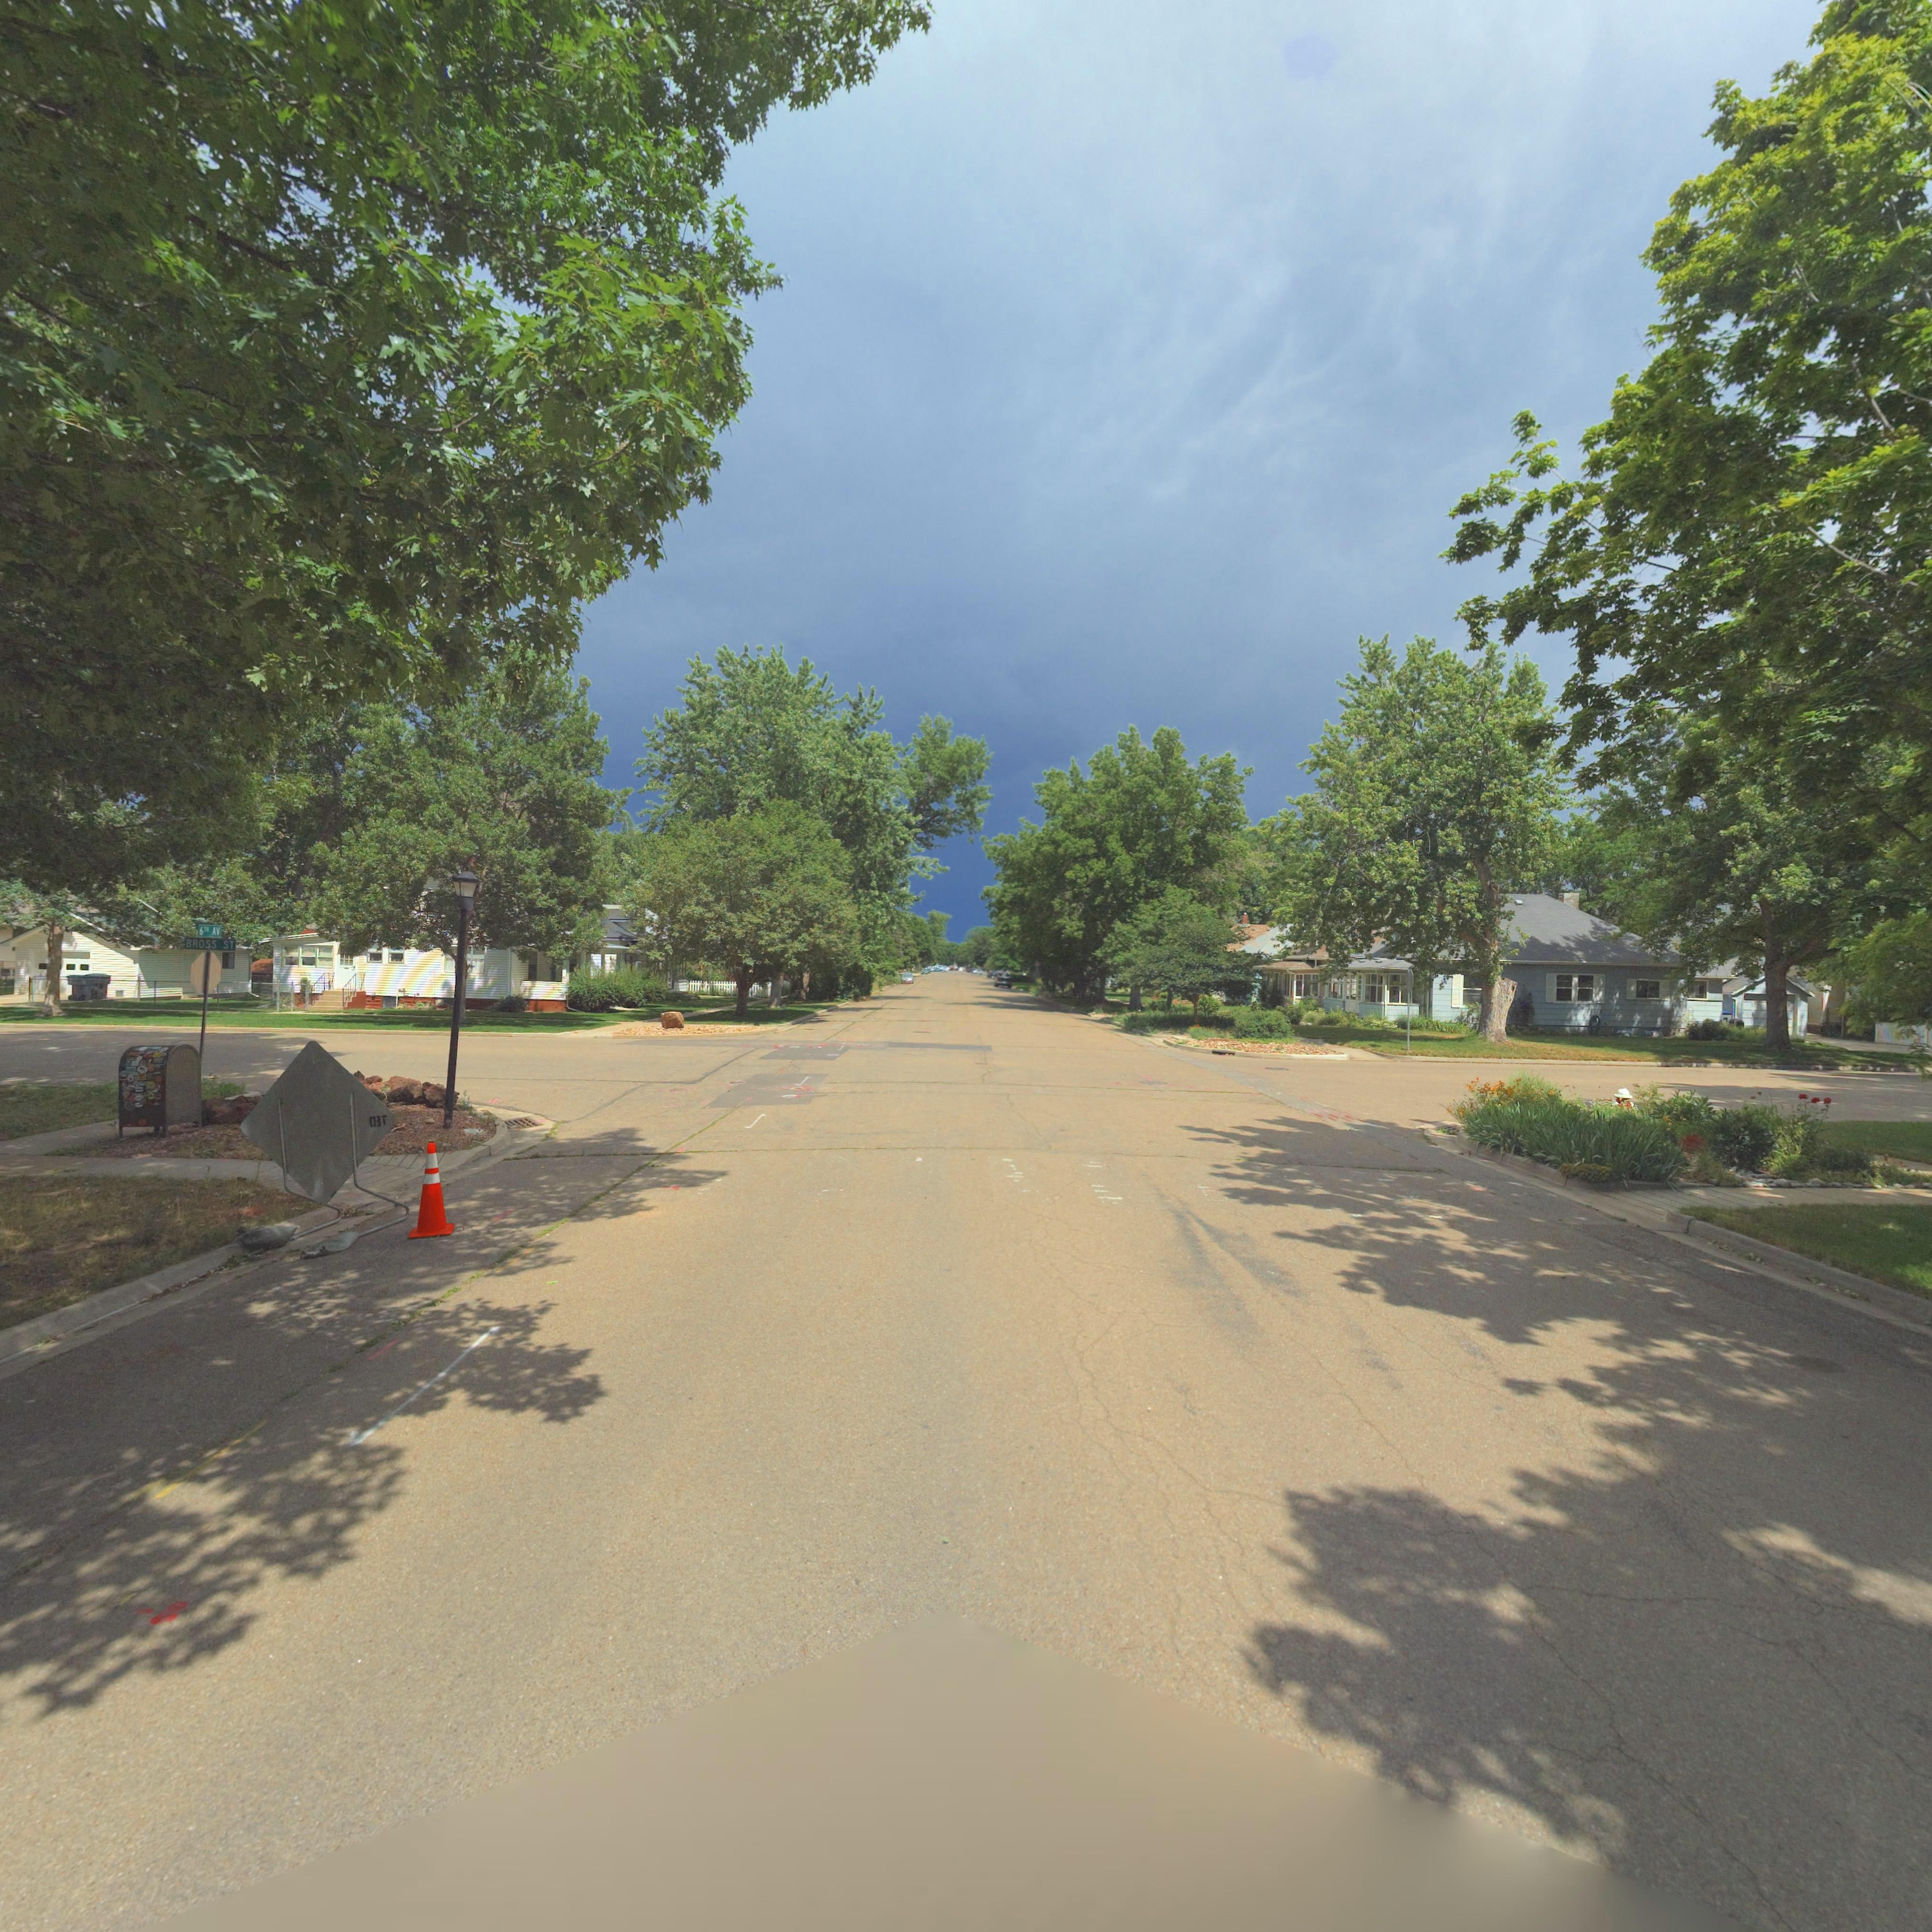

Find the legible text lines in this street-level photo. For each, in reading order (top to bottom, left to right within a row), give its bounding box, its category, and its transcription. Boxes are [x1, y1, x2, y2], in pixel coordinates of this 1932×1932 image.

[199, 926, 221, 936] StreetName: 6TH AV
[185, 938, 234, 949] StreetName: BROSS ST